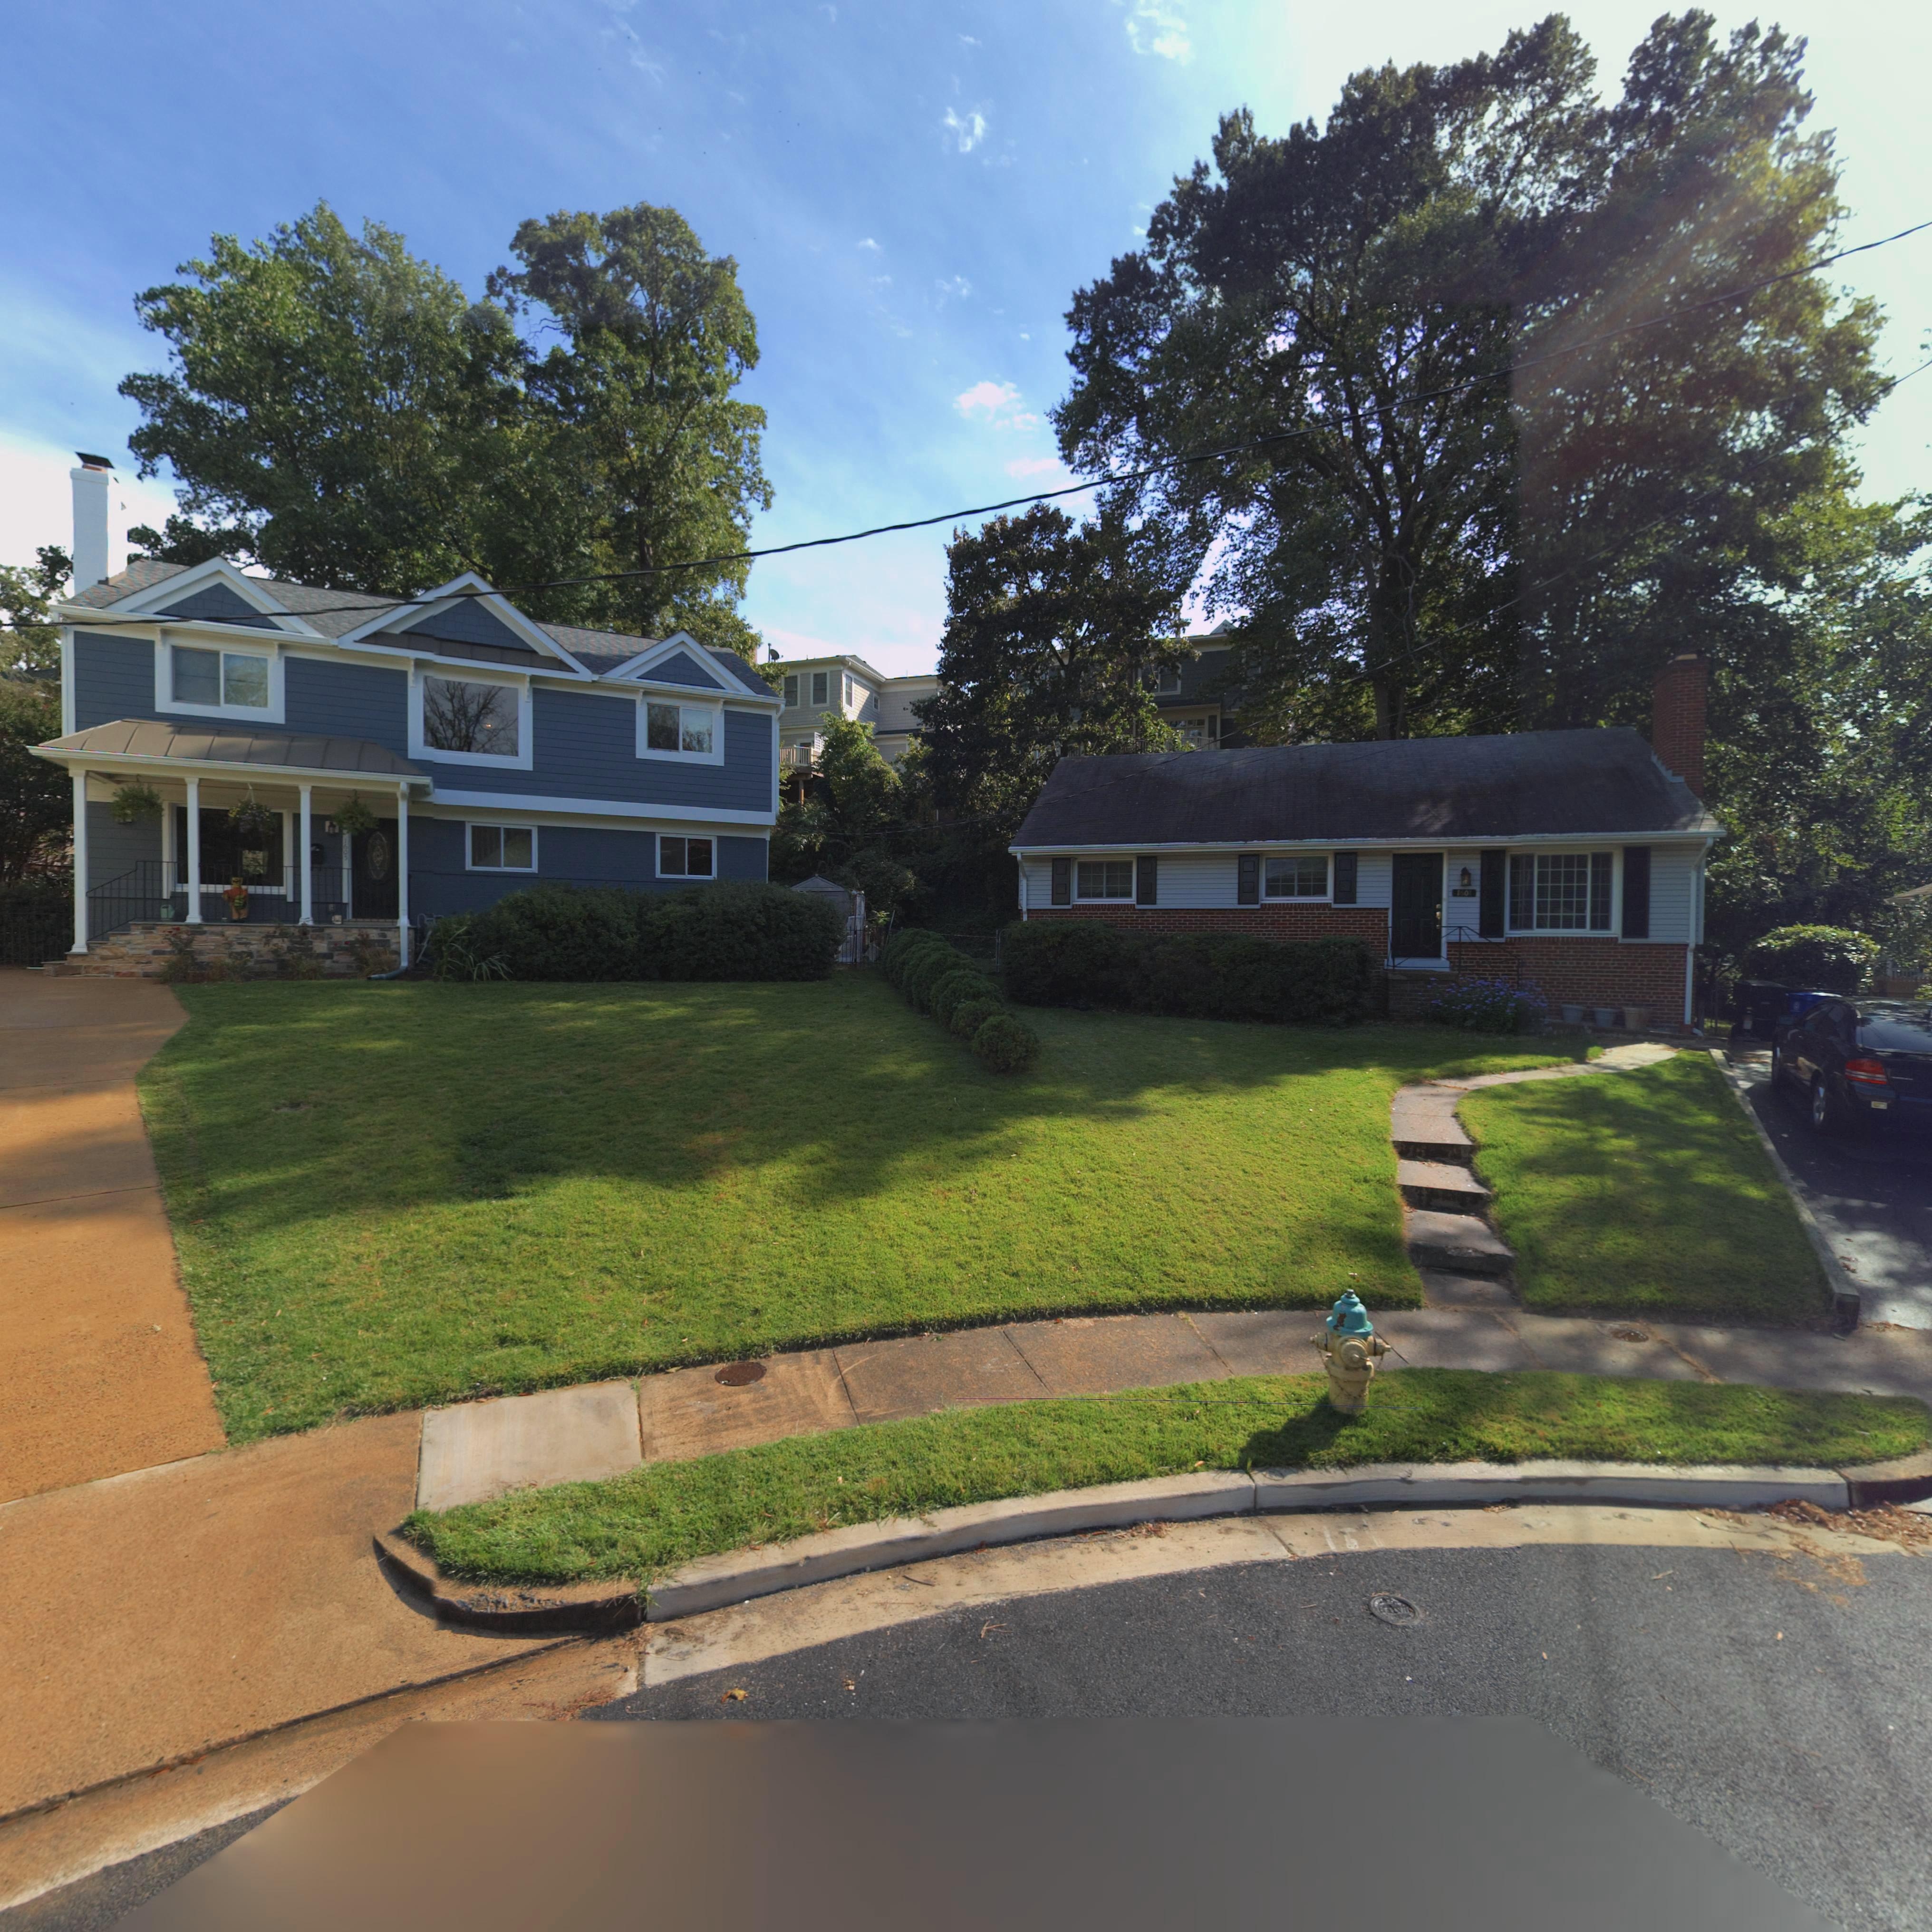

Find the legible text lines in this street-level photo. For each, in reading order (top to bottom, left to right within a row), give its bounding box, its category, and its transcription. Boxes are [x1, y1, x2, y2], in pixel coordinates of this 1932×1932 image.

[342, 837, 349, 862] StreetNumber: 160*
[1456, 889, 1473, 897] StreetNumber: 1601